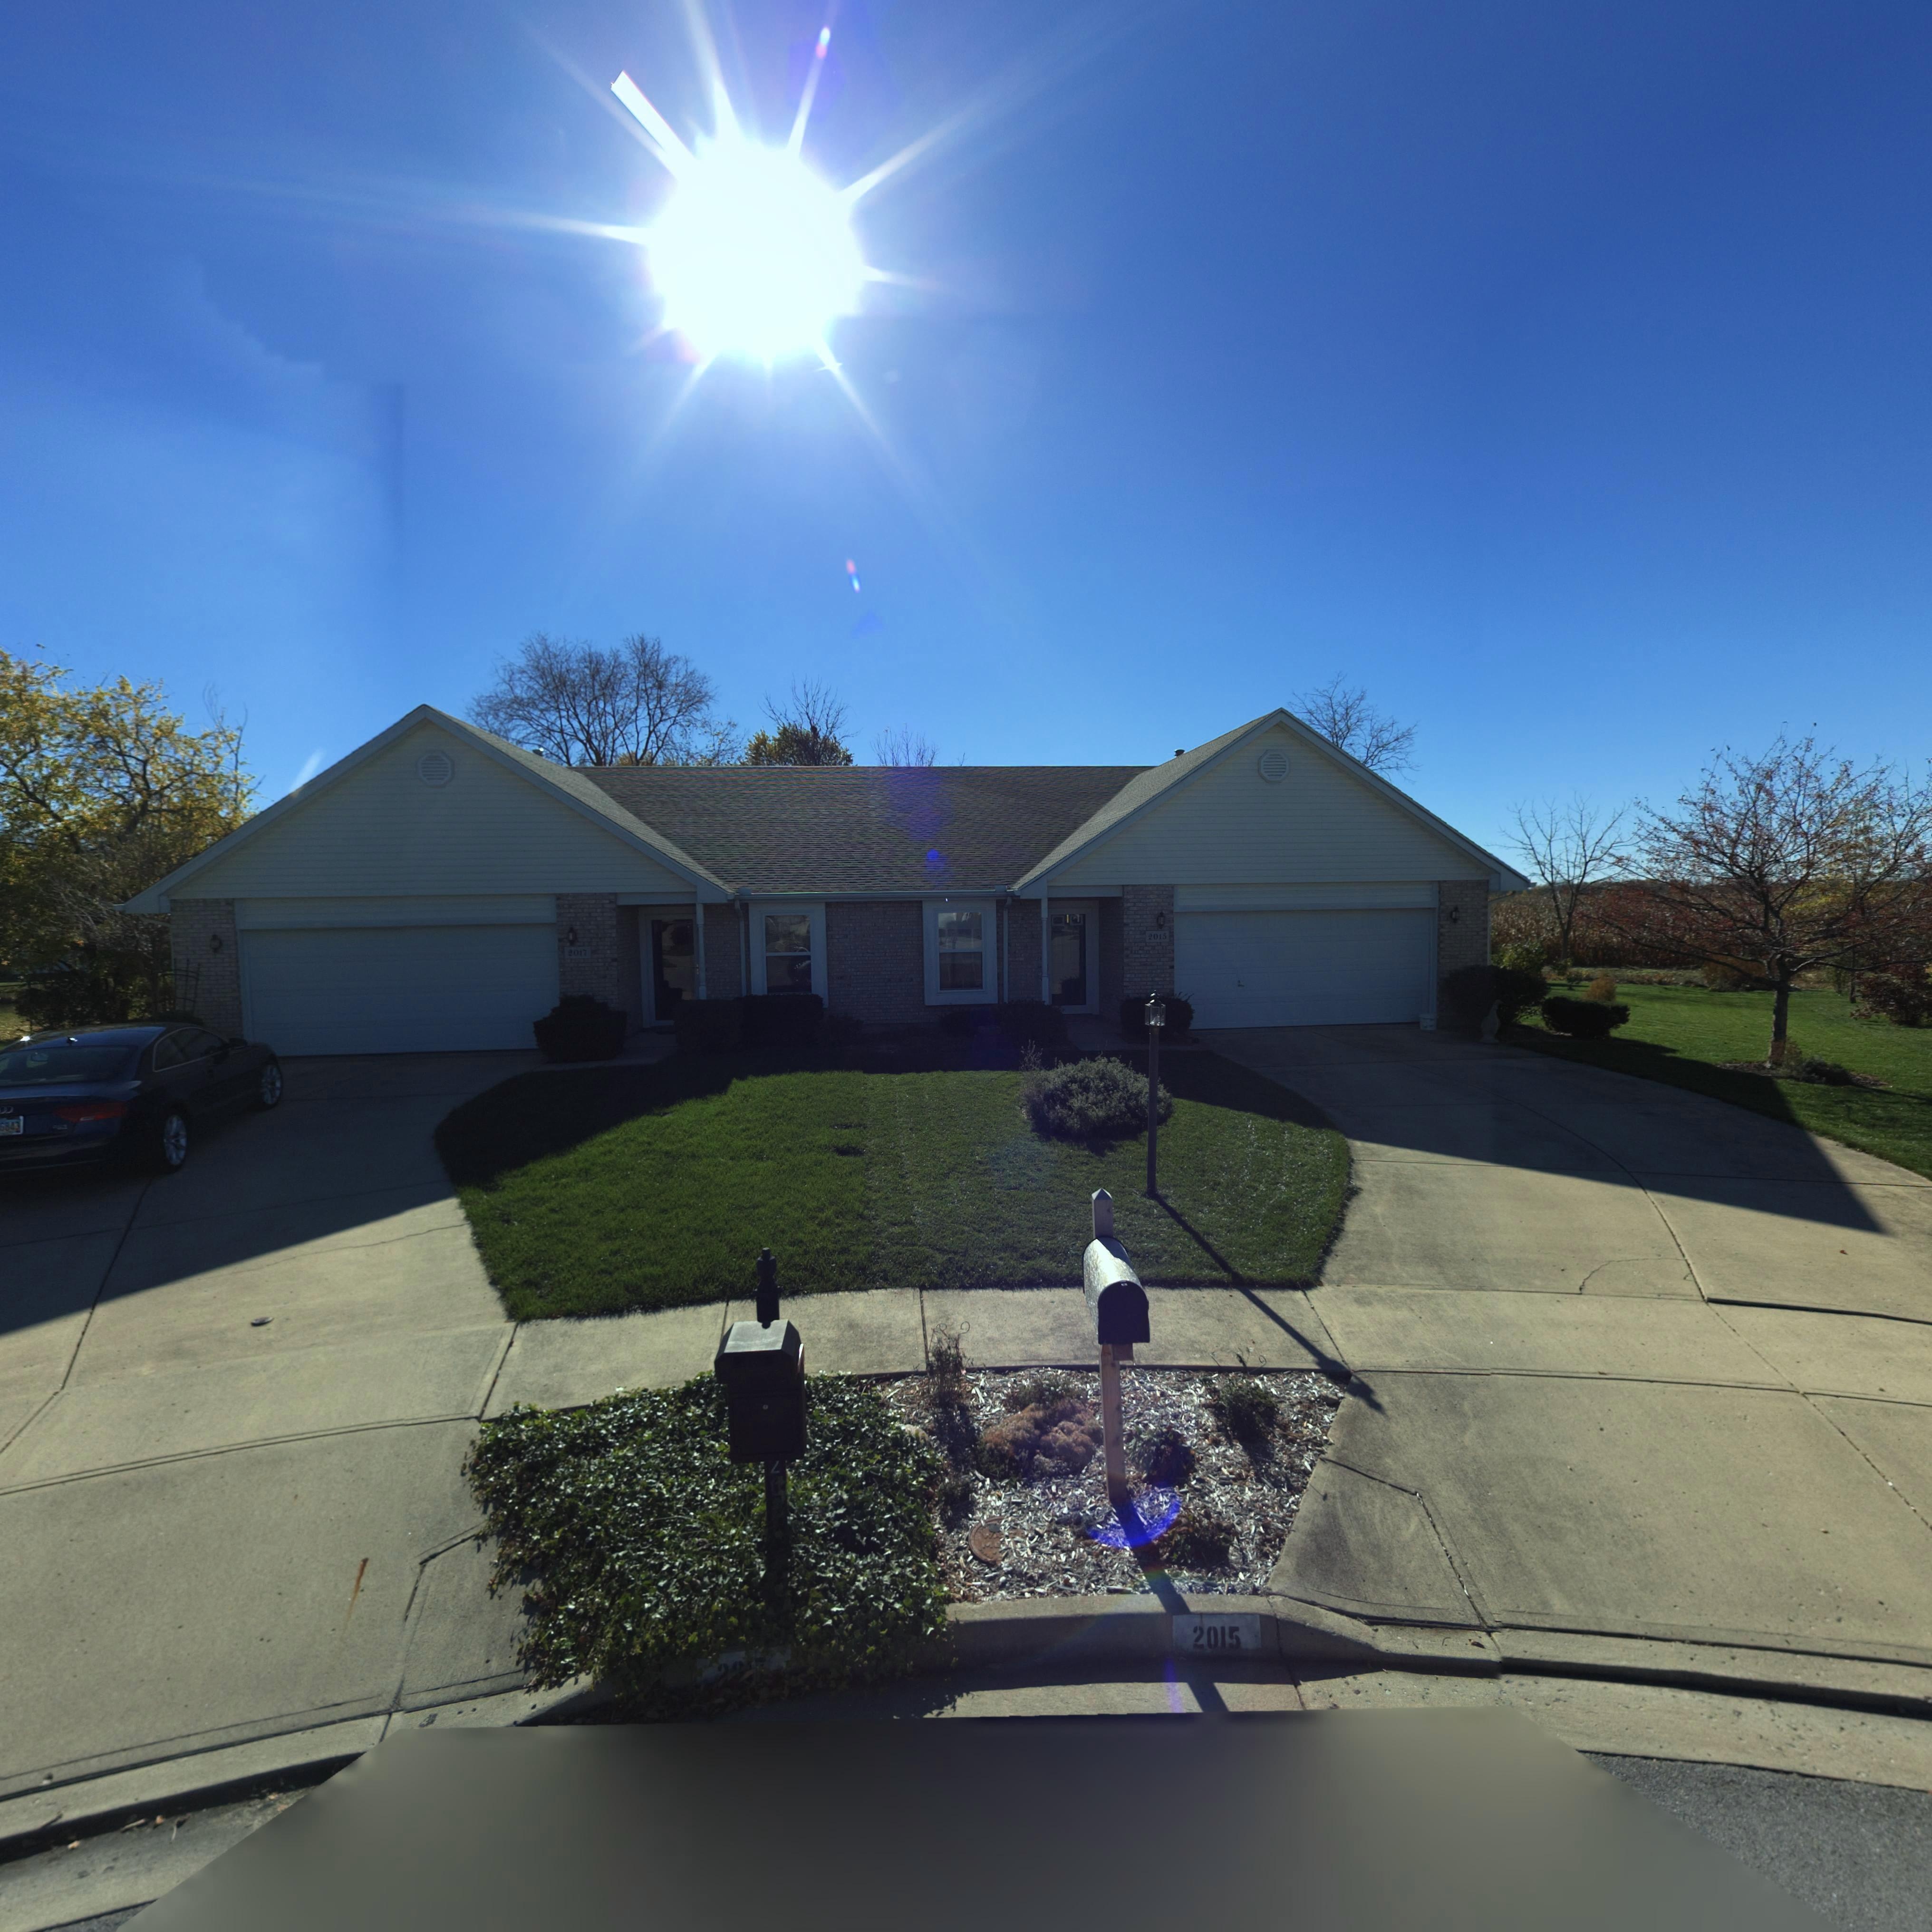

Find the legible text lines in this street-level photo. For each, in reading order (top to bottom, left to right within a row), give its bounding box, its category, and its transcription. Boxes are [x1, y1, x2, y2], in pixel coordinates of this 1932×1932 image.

[1147, 932, 1168, 941] StreetNumber: 2015
[567, 948, 588, 957] StreetNumber: 2017
[1191, 1624, 1243, 1651] StreetNumber: 2015